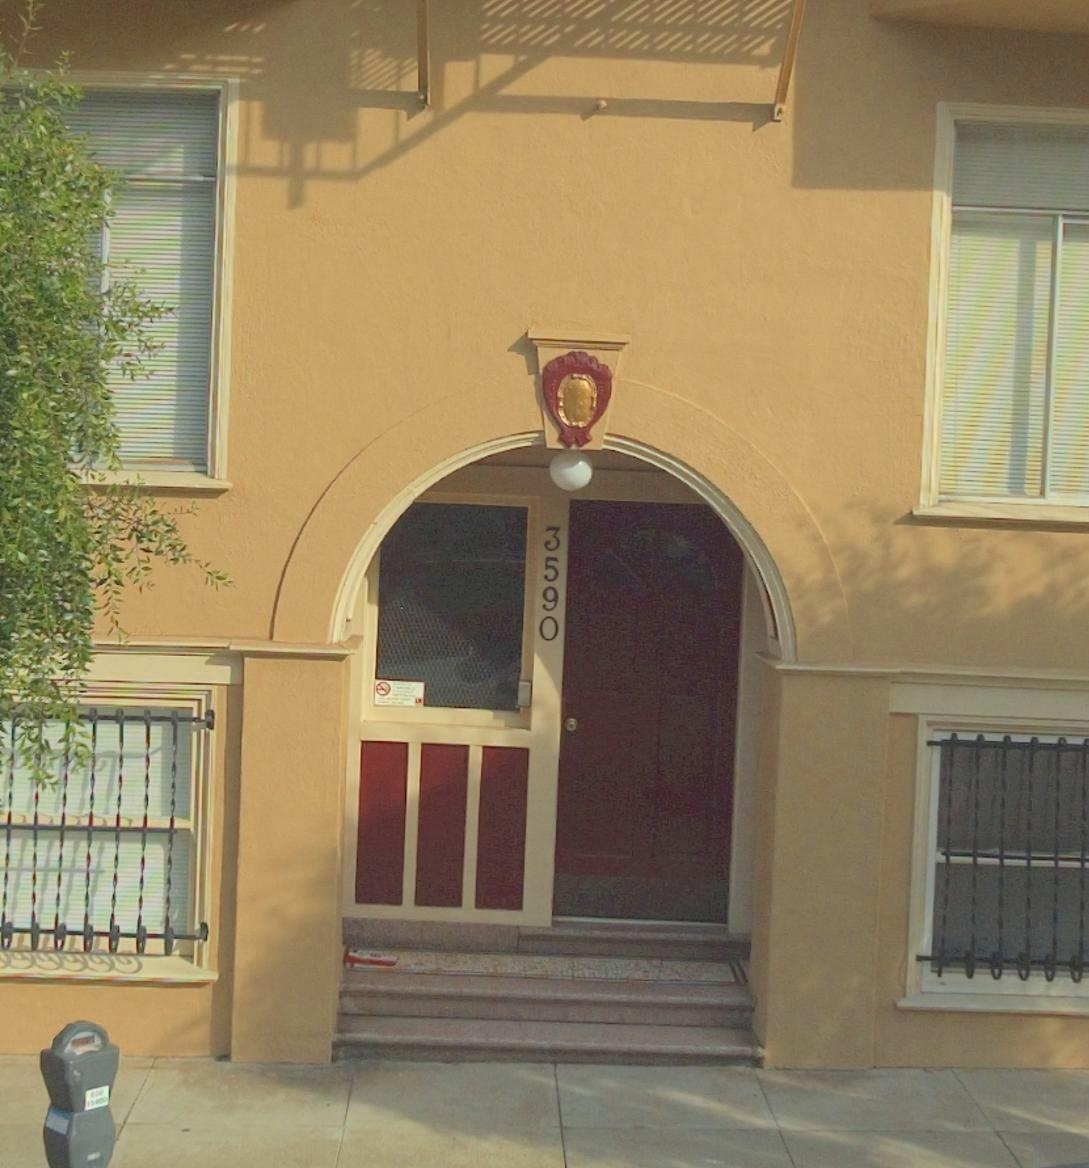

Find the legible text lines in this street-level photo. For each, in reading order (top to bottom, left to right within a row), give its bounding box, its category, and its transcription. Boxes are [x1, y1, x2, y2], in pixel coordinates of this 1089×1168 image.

[536, 523, 564, 643] StreetNumber: 3590